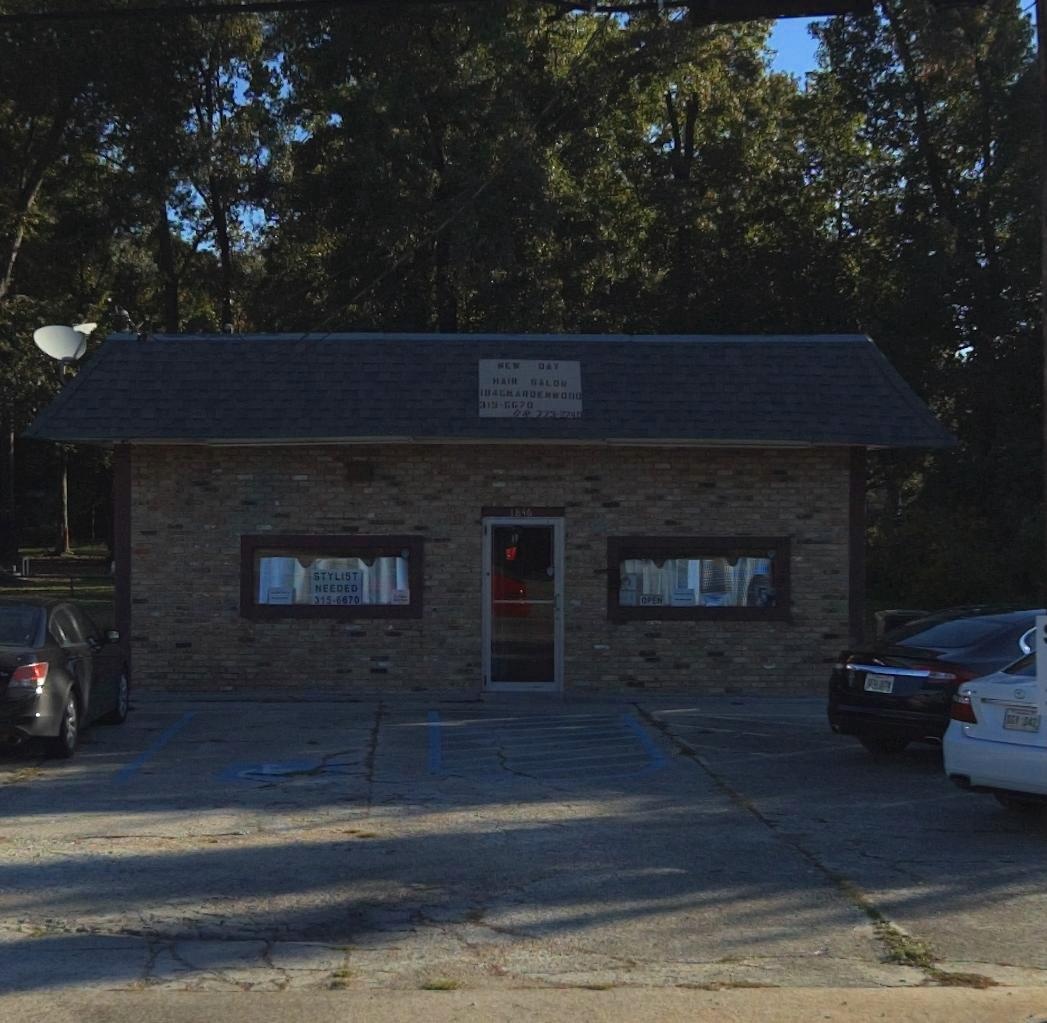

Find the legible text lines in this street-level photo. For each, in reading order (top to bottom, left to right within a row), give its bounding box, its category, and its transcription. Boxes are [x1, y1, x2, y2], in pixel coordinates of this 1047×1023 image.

[495, 360, 561, 372] BusinessName: NEW DAY
[491, 375, 569, 389] BusinessName: HAIR SALON
[508, 506, 534, 518] StreetNumber: 1846
[312, 570, 360, 583] None: STYLIST
[312, 583, 360, 595] None: NEEDED
[312, 594, 361, 607] None: 315-**70